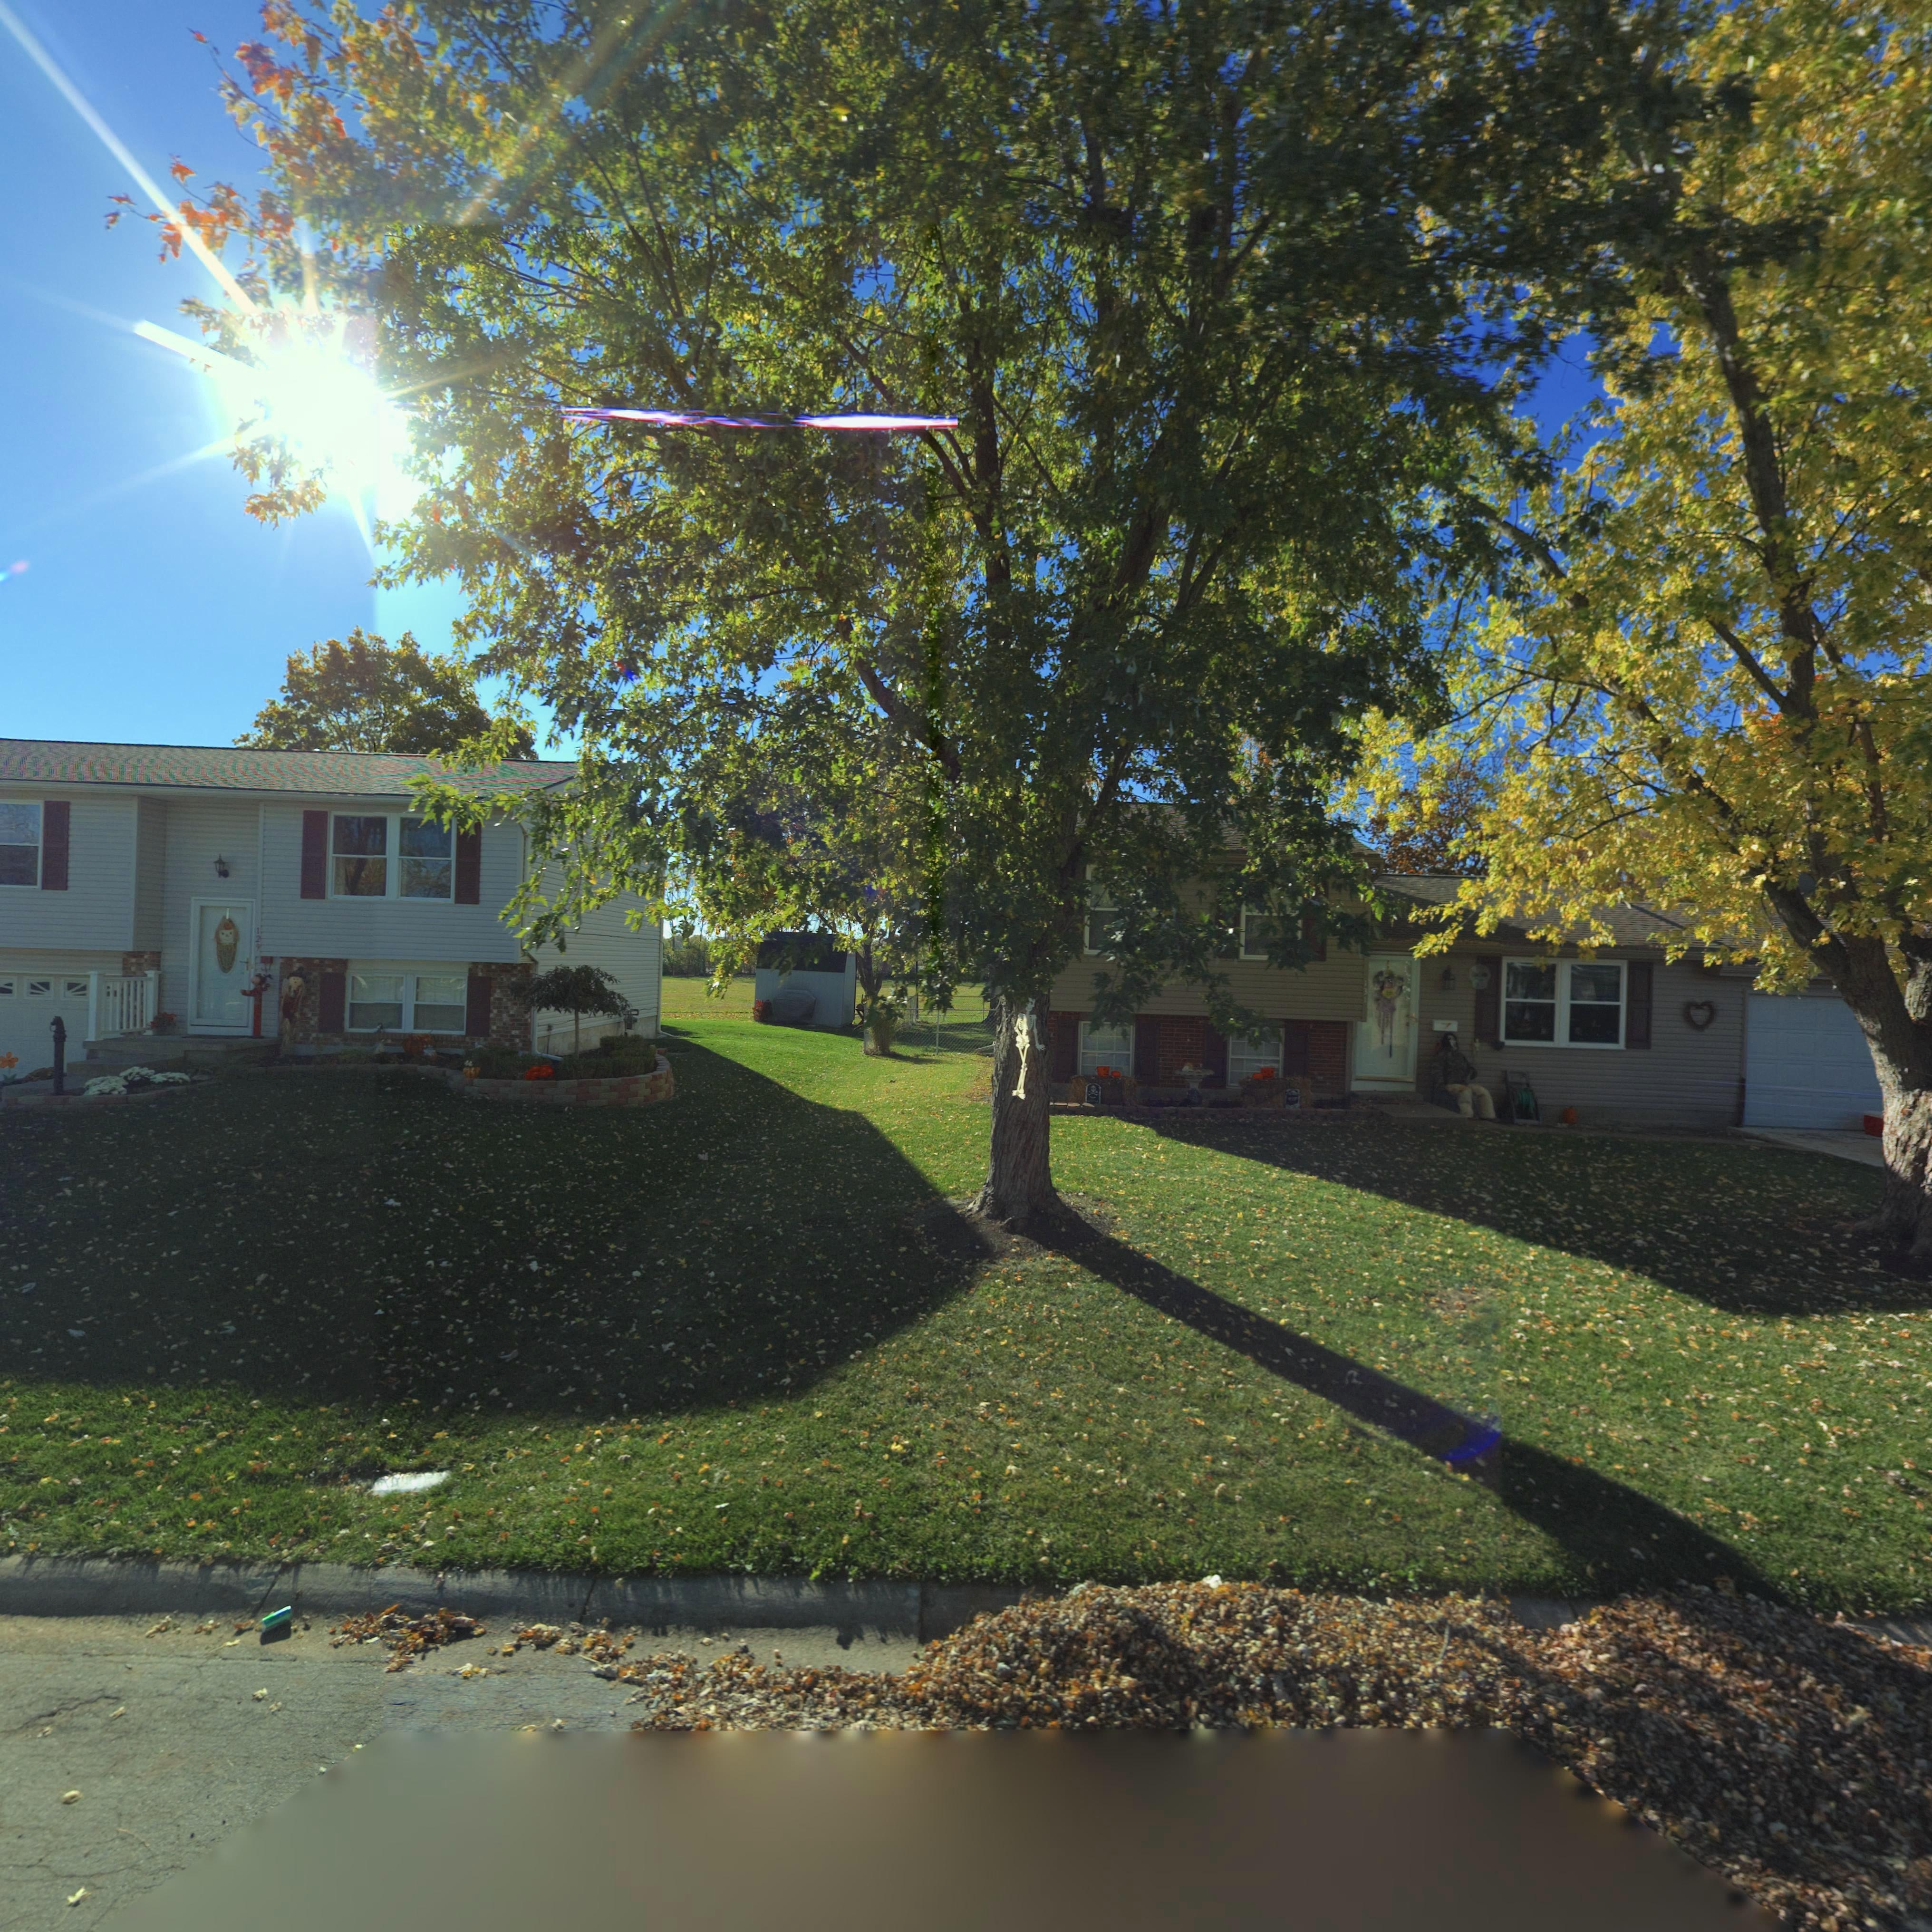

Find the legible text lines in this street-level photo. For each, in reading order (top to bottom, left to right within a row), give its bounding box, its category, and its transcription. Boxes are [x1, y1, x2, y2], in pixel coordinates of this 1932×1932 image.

[254, 927, 261, 951] StreetNumber: 129